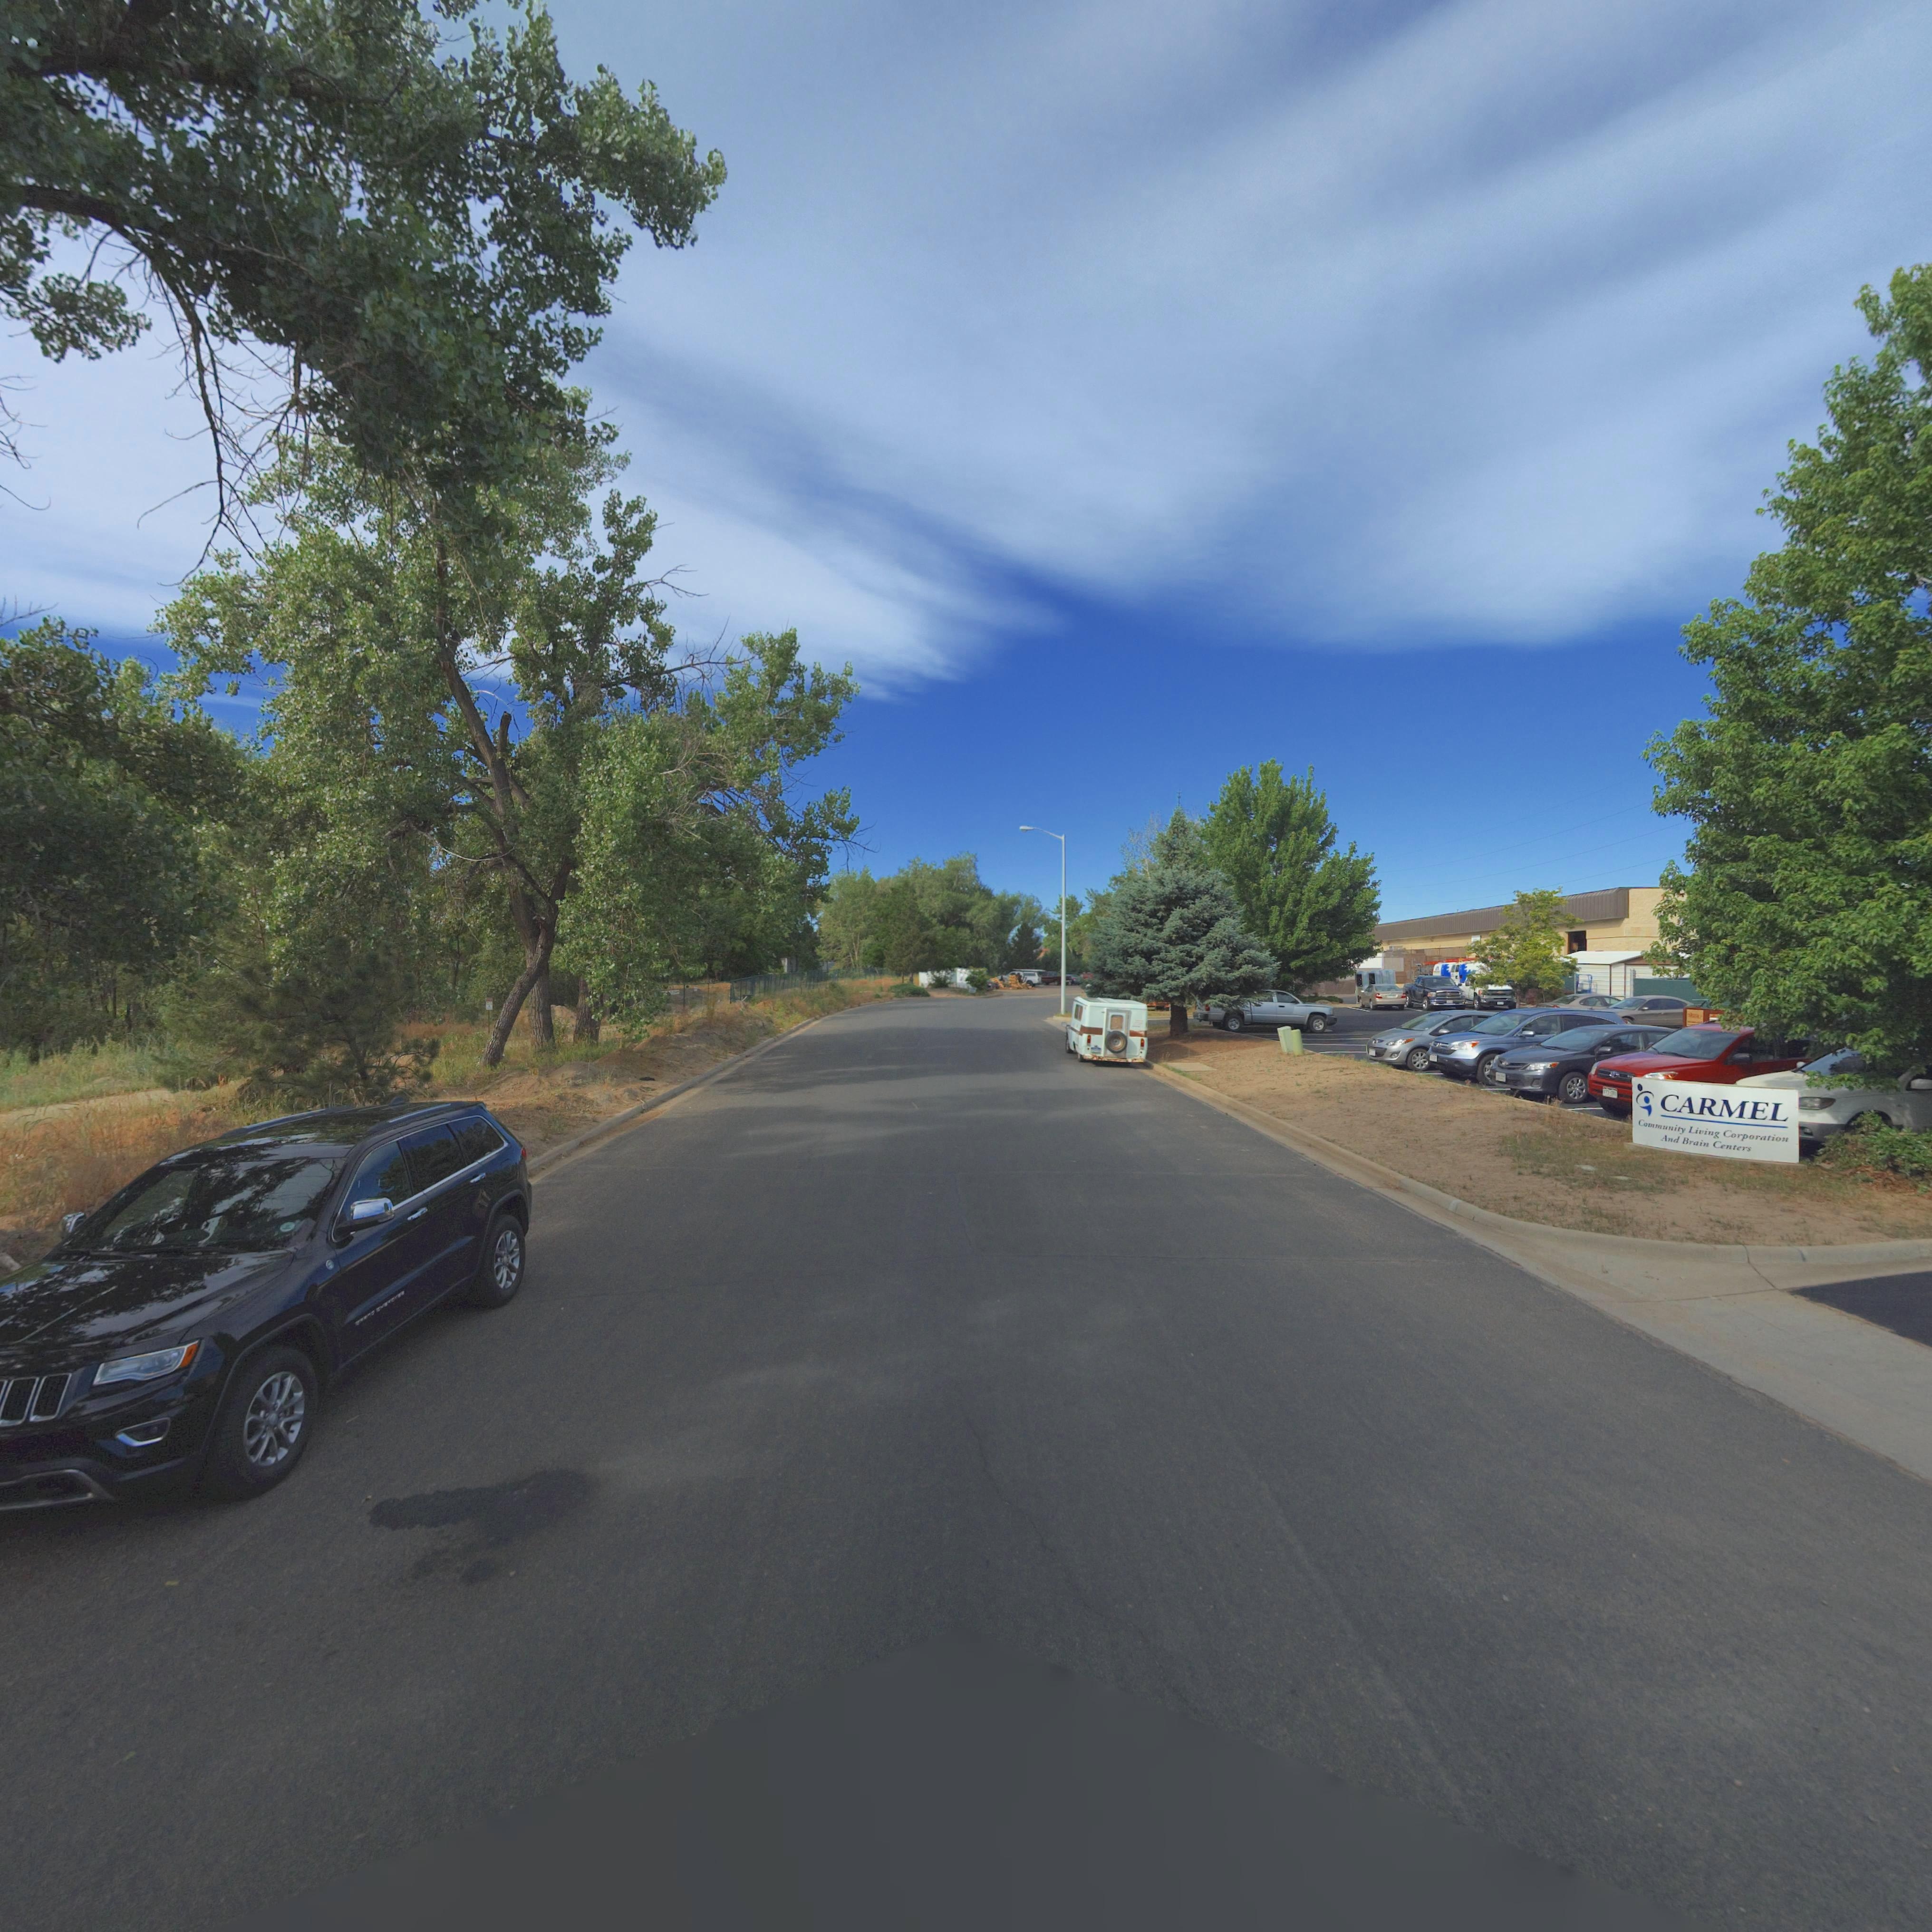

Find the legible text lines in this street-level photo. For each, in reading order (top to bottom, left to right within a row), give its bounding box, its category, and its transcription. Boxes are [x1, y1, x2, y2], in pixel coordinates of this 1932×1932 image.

[1660, 1094, 1789, 1122] BusinessName: CARMEL